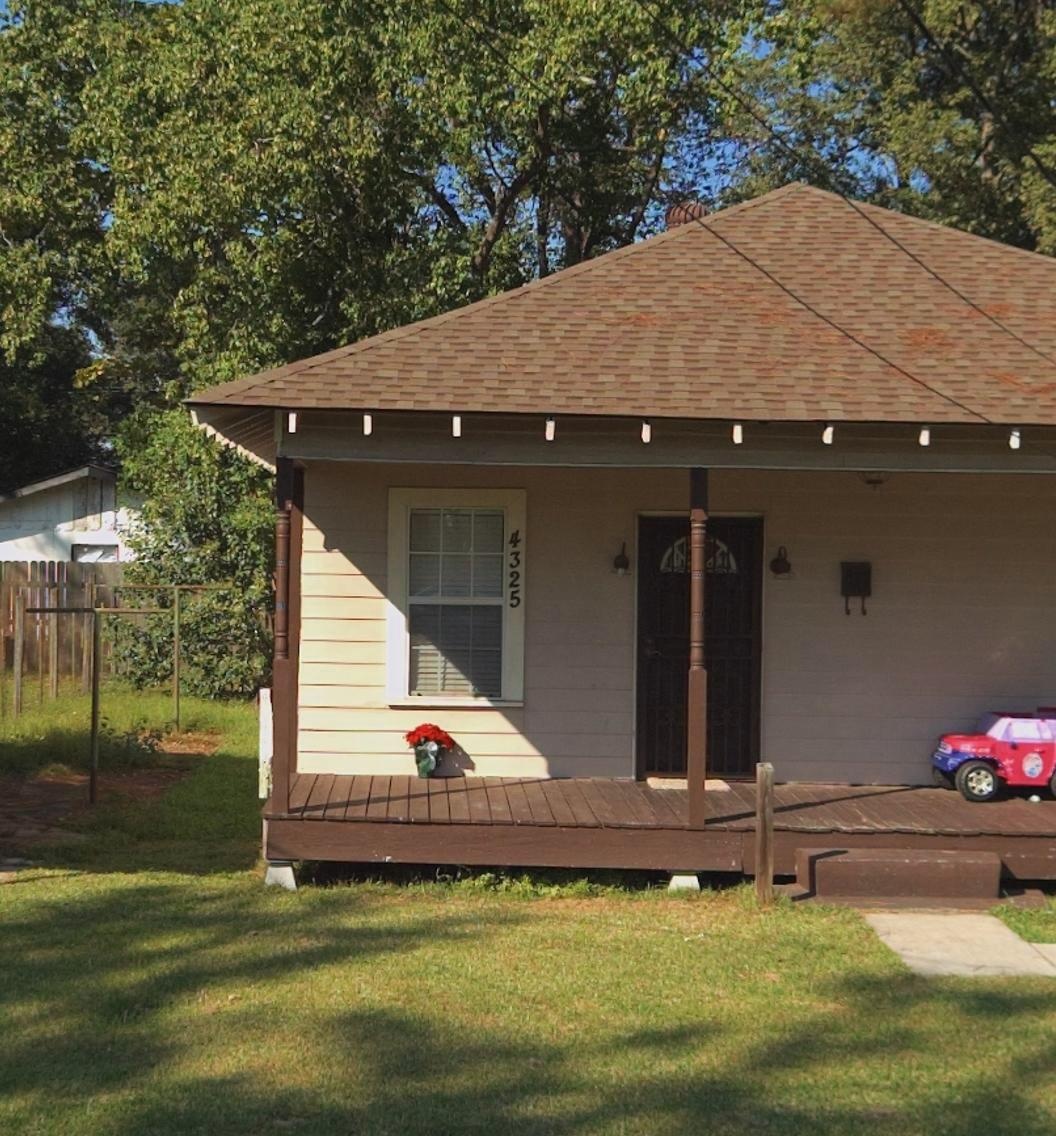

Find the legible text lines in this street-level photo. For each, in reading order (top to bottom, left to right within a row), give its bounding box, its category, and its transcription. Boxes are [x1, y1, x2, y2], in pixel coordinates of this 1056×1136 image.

[508, 529, 522, 609] StreetNumber: 4325